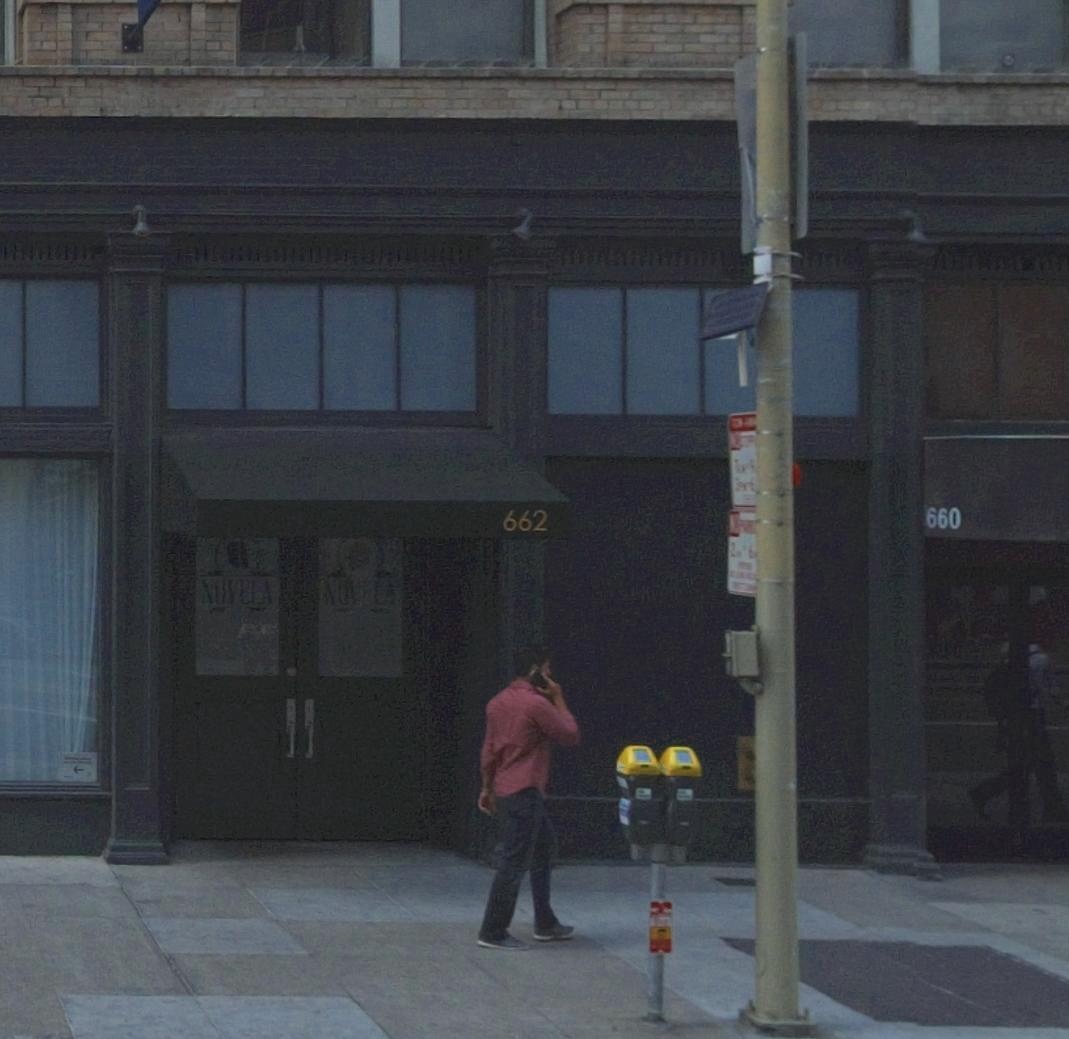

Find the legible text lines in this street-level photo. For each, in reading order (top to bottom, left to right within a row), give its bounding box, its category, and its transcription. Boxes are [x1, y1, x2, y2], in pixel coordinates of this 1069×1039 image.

[502, 506, 549, 534] StreetNumber: 662
[924, 504, 962, 530] StreetNumber: 660